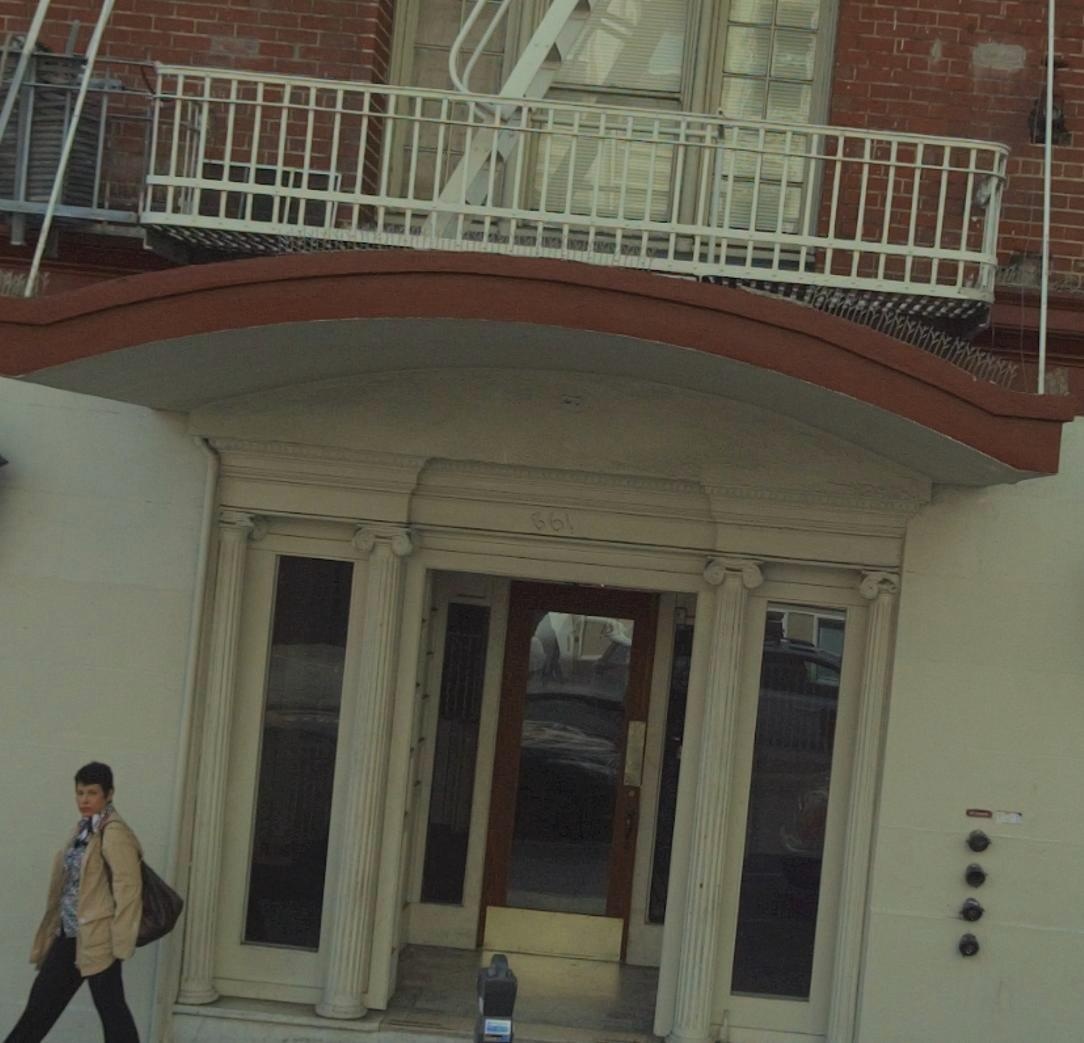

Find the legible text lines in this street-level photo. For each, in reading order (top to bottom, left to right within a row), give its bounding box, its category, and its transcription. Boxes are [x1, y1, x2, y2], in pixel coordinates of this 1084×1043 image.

[526, 506, 578, 537] StreetNumber: 861